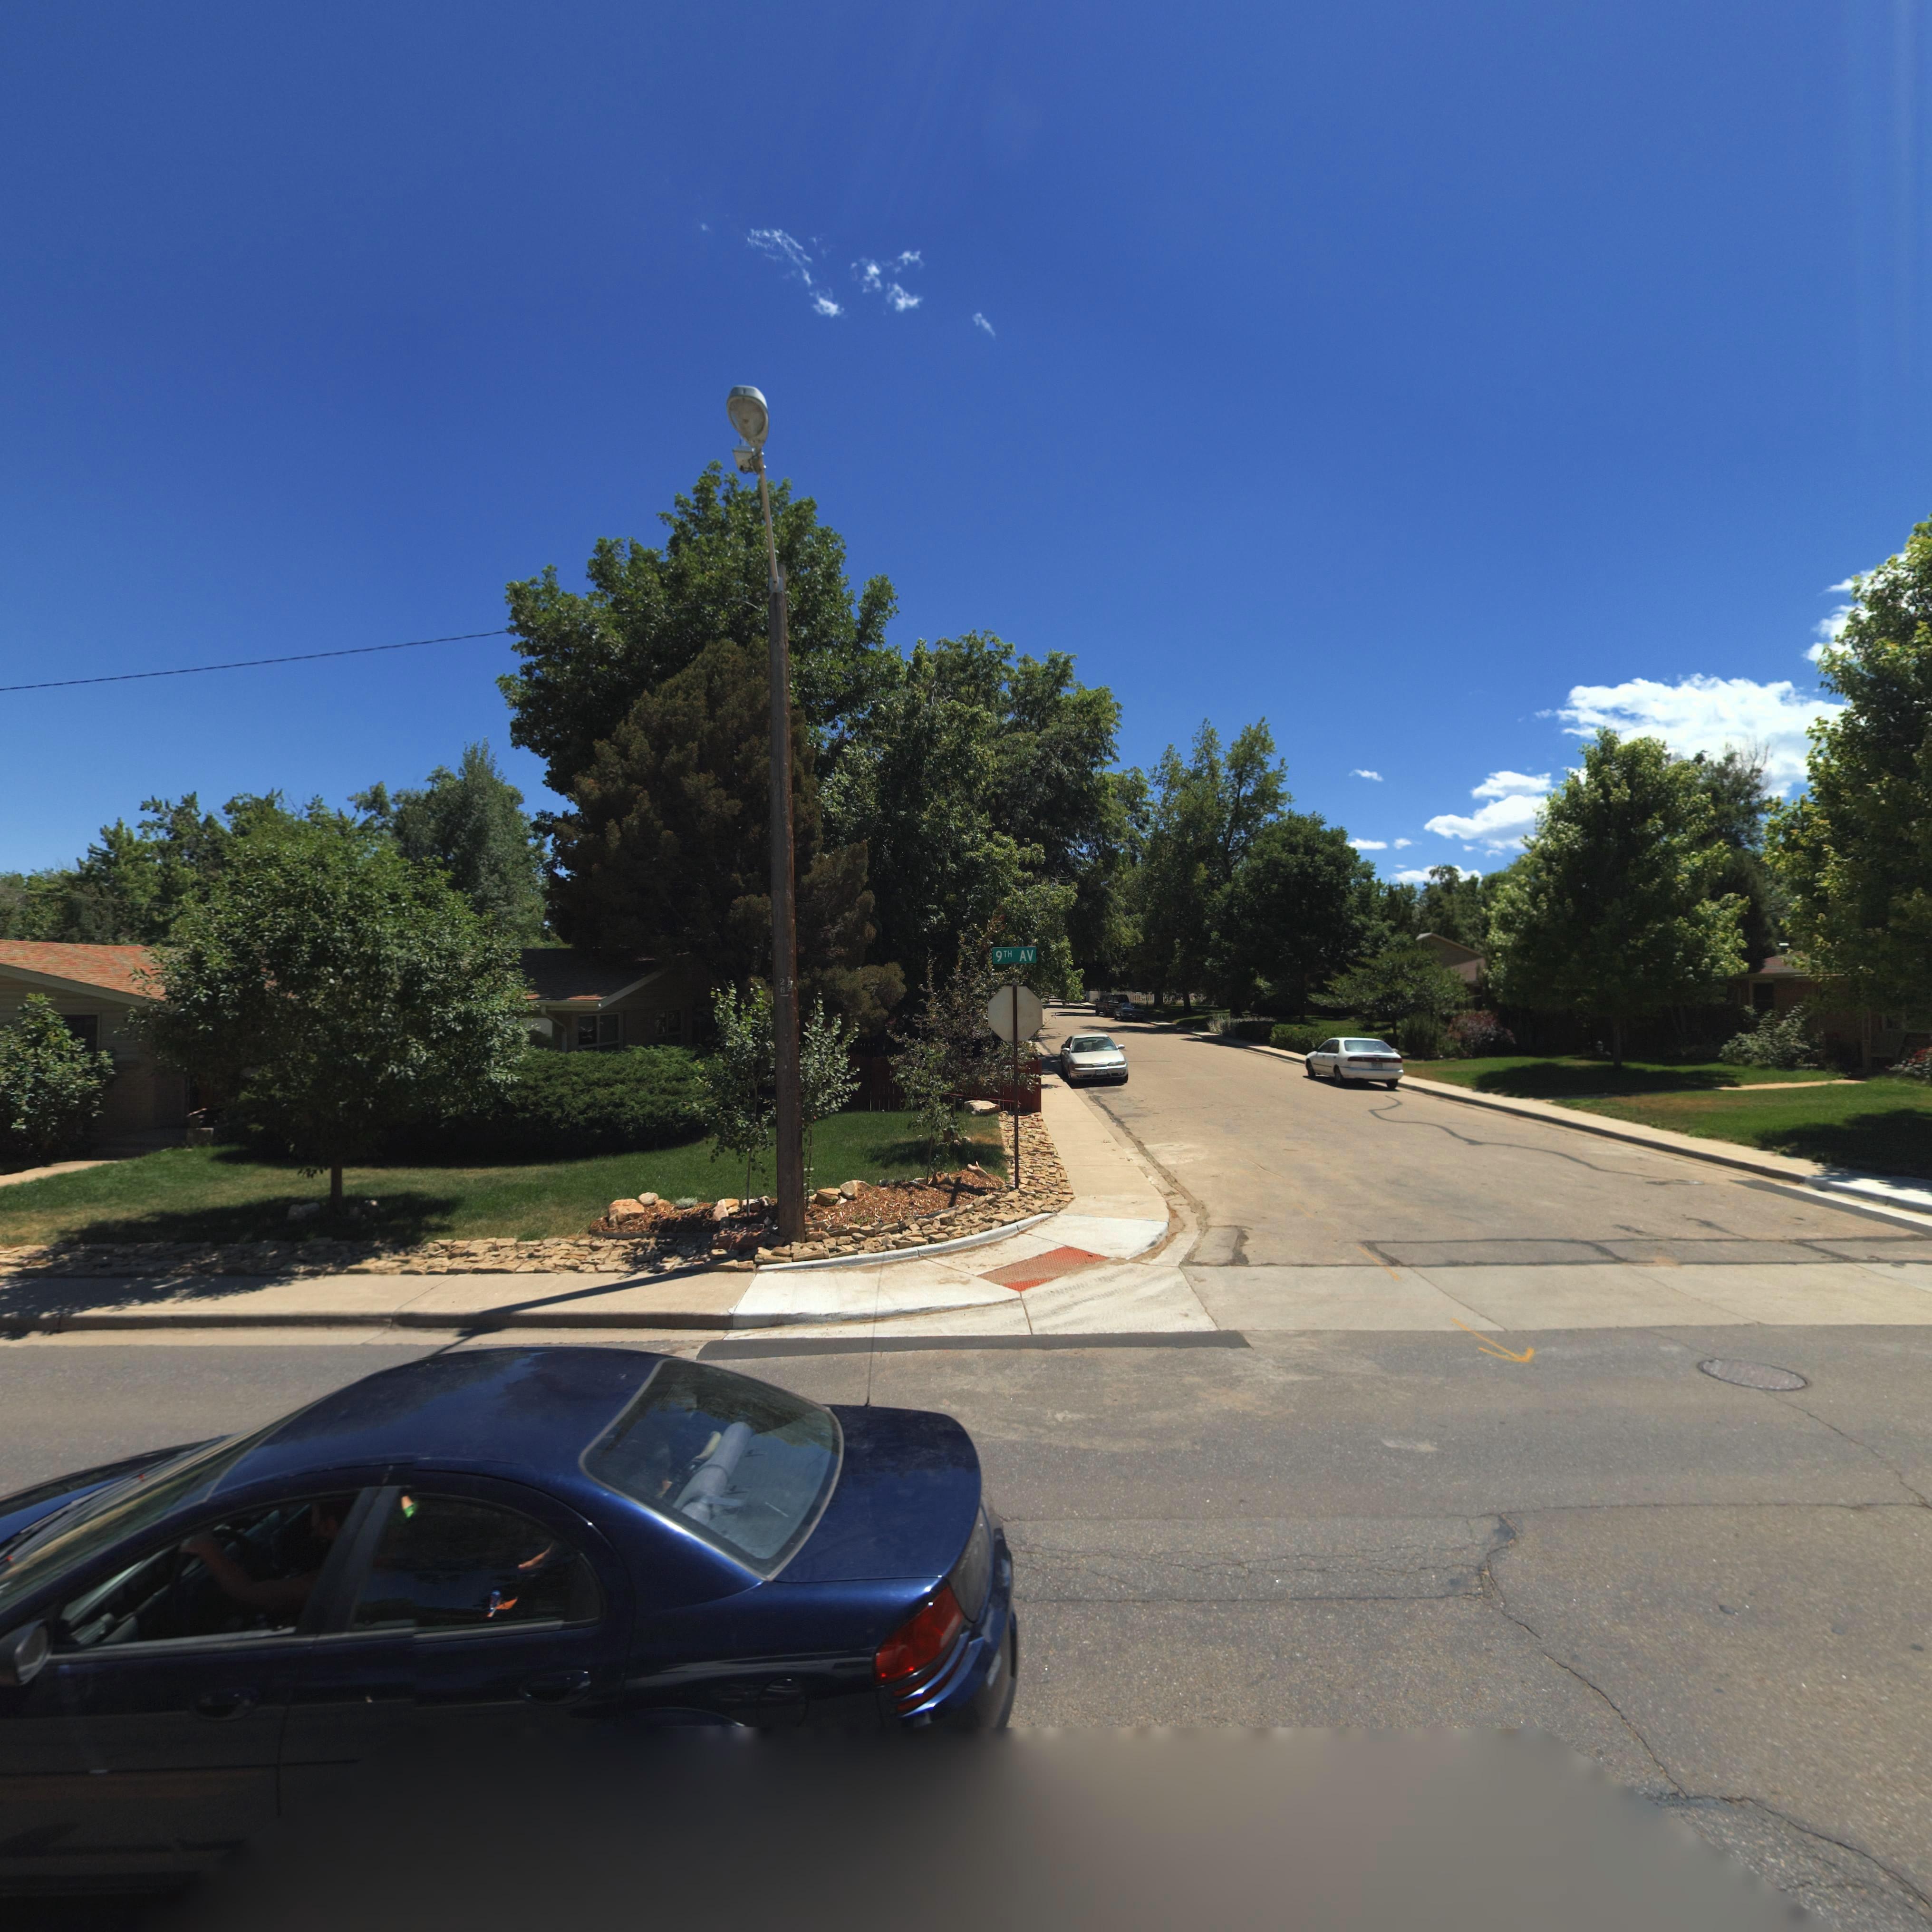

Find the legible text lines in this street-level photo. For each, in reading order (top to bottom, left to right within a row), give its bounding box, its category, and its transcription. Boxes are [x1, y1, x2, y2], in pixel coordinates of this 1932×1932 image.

[995, 949, 1034, 962] StreetName: 9TH AV 